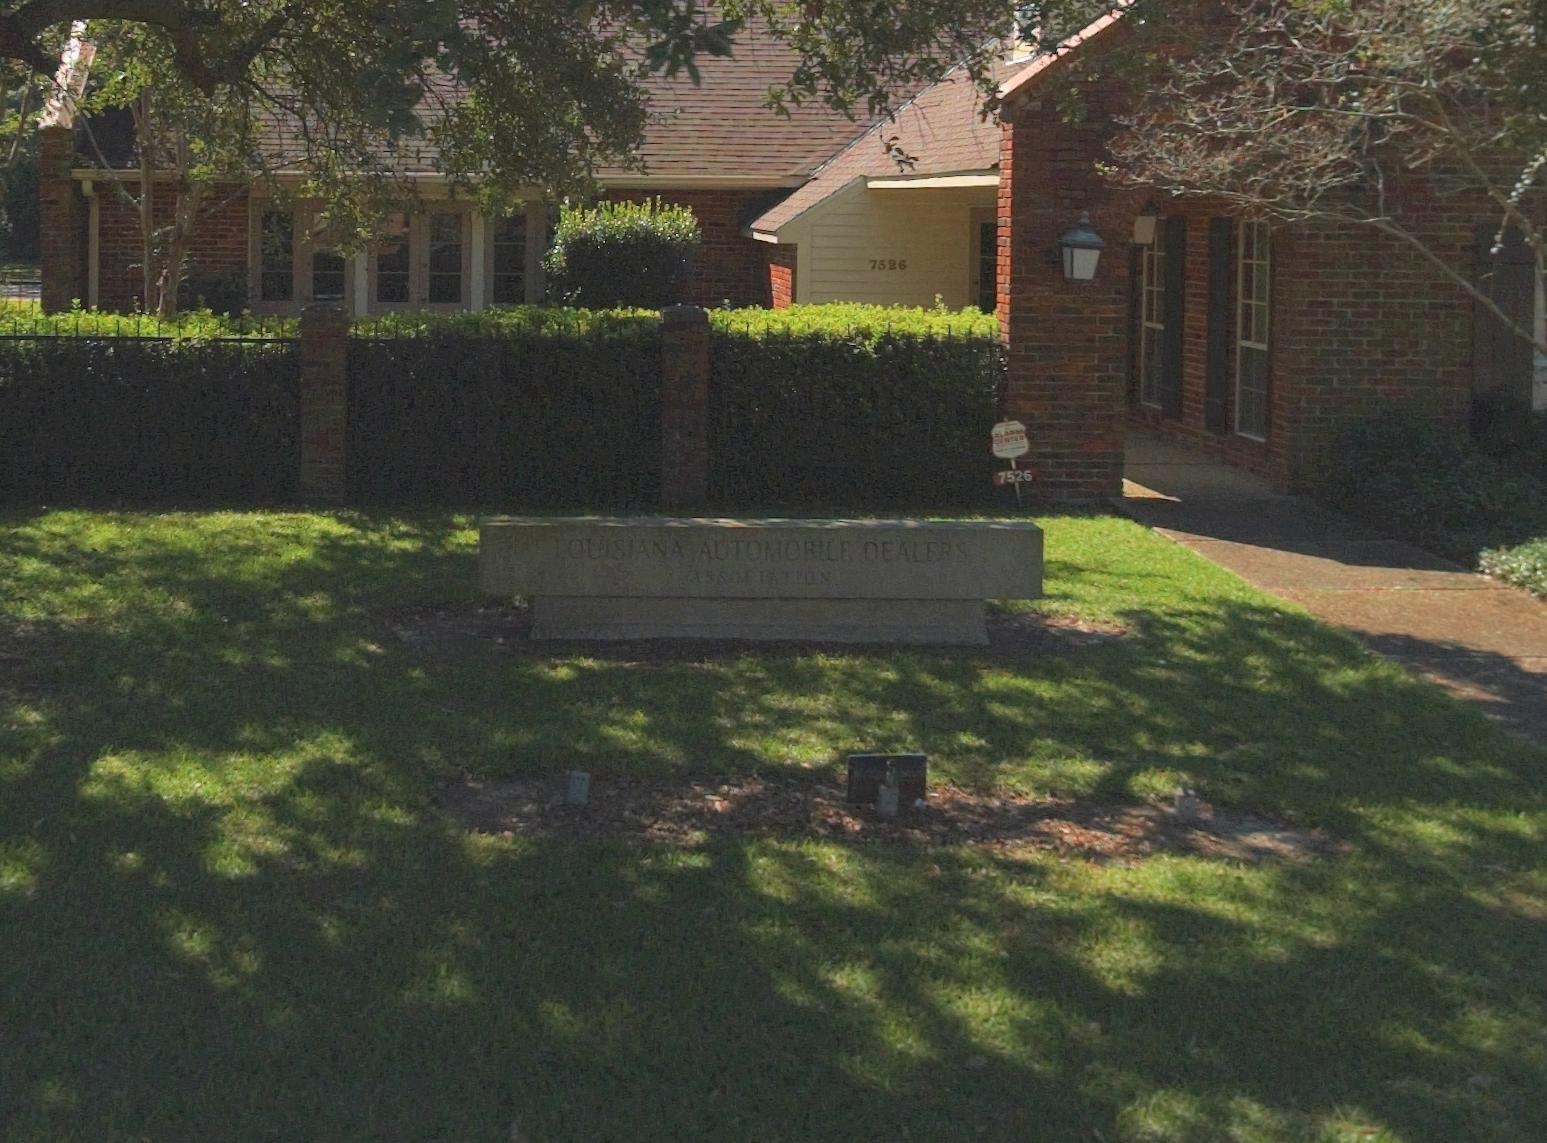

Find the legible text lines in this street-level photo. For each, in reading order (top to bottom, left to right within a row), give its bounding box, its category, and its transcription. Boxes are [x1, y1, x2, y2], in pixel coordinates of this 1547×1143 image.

[868, 257, 907, 271] StreetNumber: 7526
[996, 469, 1033, 486] StreetNumber: 7526
[550, 536, 970, 565] BusinessName: LOUISIANA AUTOMOBILE DEALERS
[686, 567, 834, 588] BusinessName: ASSOCIATION